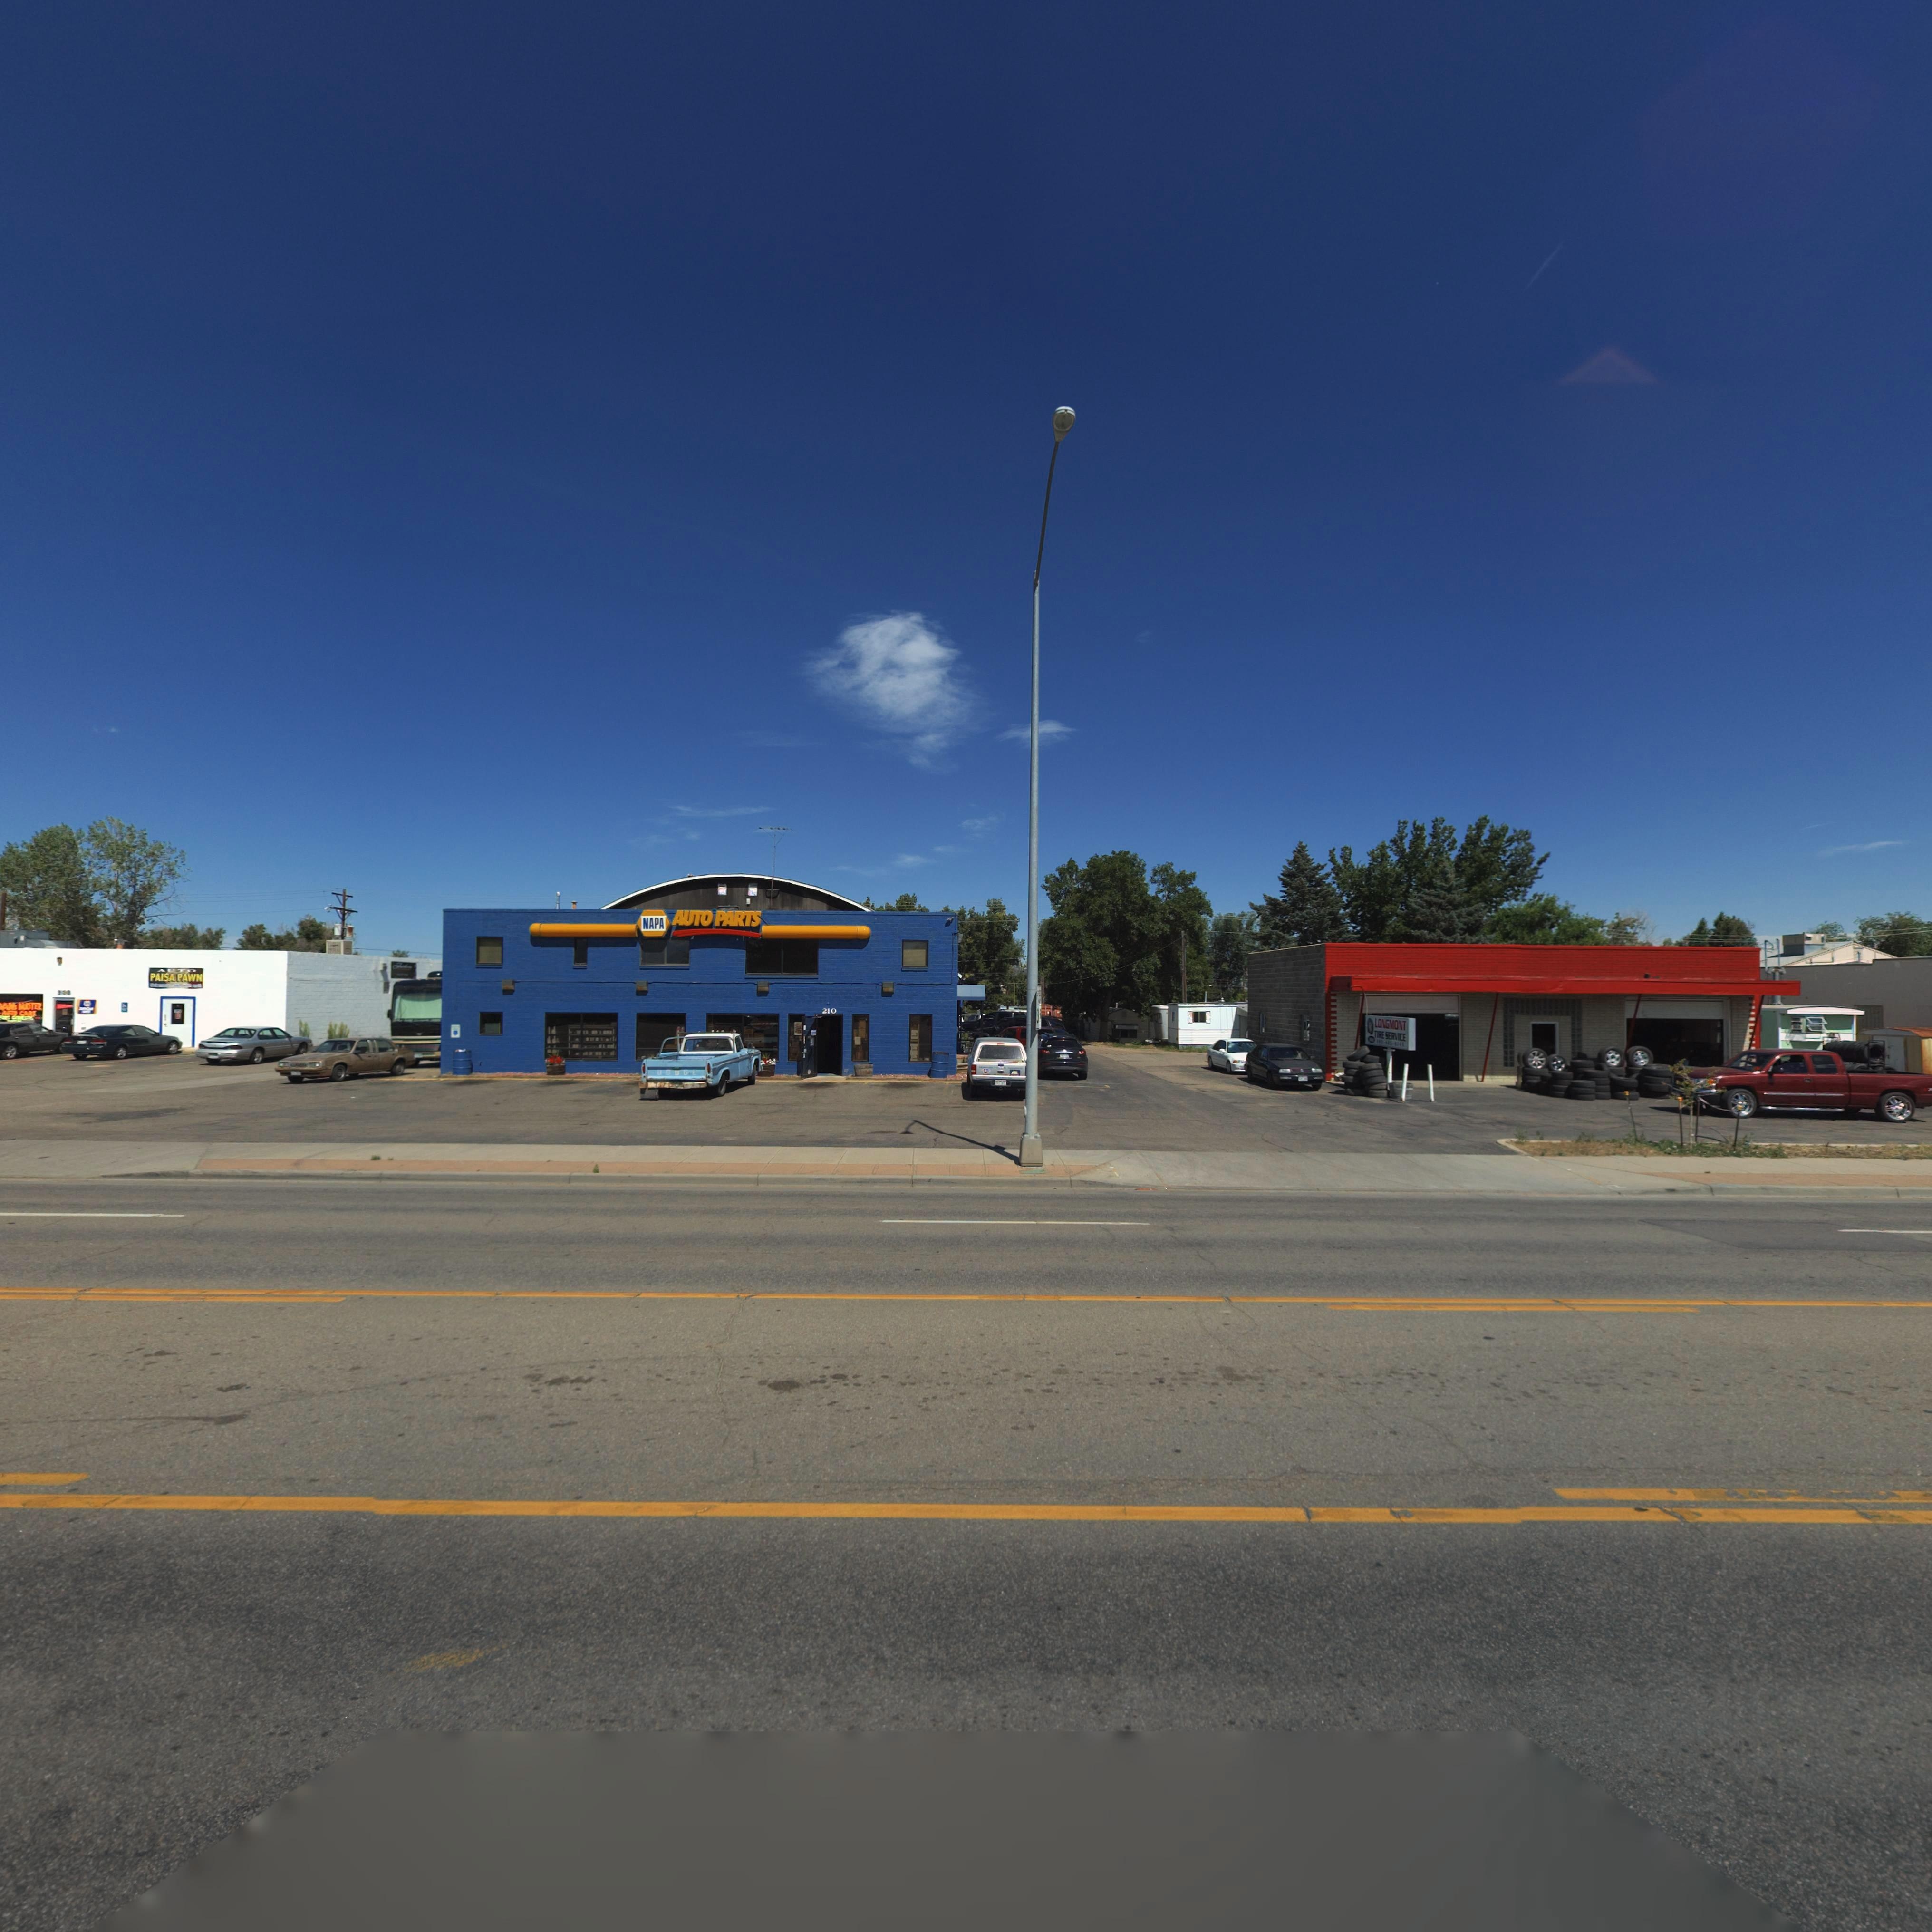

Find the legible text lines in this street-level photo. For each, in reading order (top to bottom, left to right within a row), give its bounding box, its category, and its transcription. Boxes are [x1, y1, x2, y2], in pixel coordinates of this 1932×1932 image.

[642, 917, 664, 930] BusinessName: NAPA
[669, 909, 762, 927] BusinessName: AUTO PARTS
[156, 968, 197, 973] BusinessName: AUTO
[149, 973, 203, 983] BusinessName: PAISA PAWN
[820, 1007, 837, 1015] StreetNumber: 210
[1374, 1018, 1407, 1030] BusinessName: LONGMONT
[1374, 1029, 1406, 1042] BusinessName: TIRE SERVICE